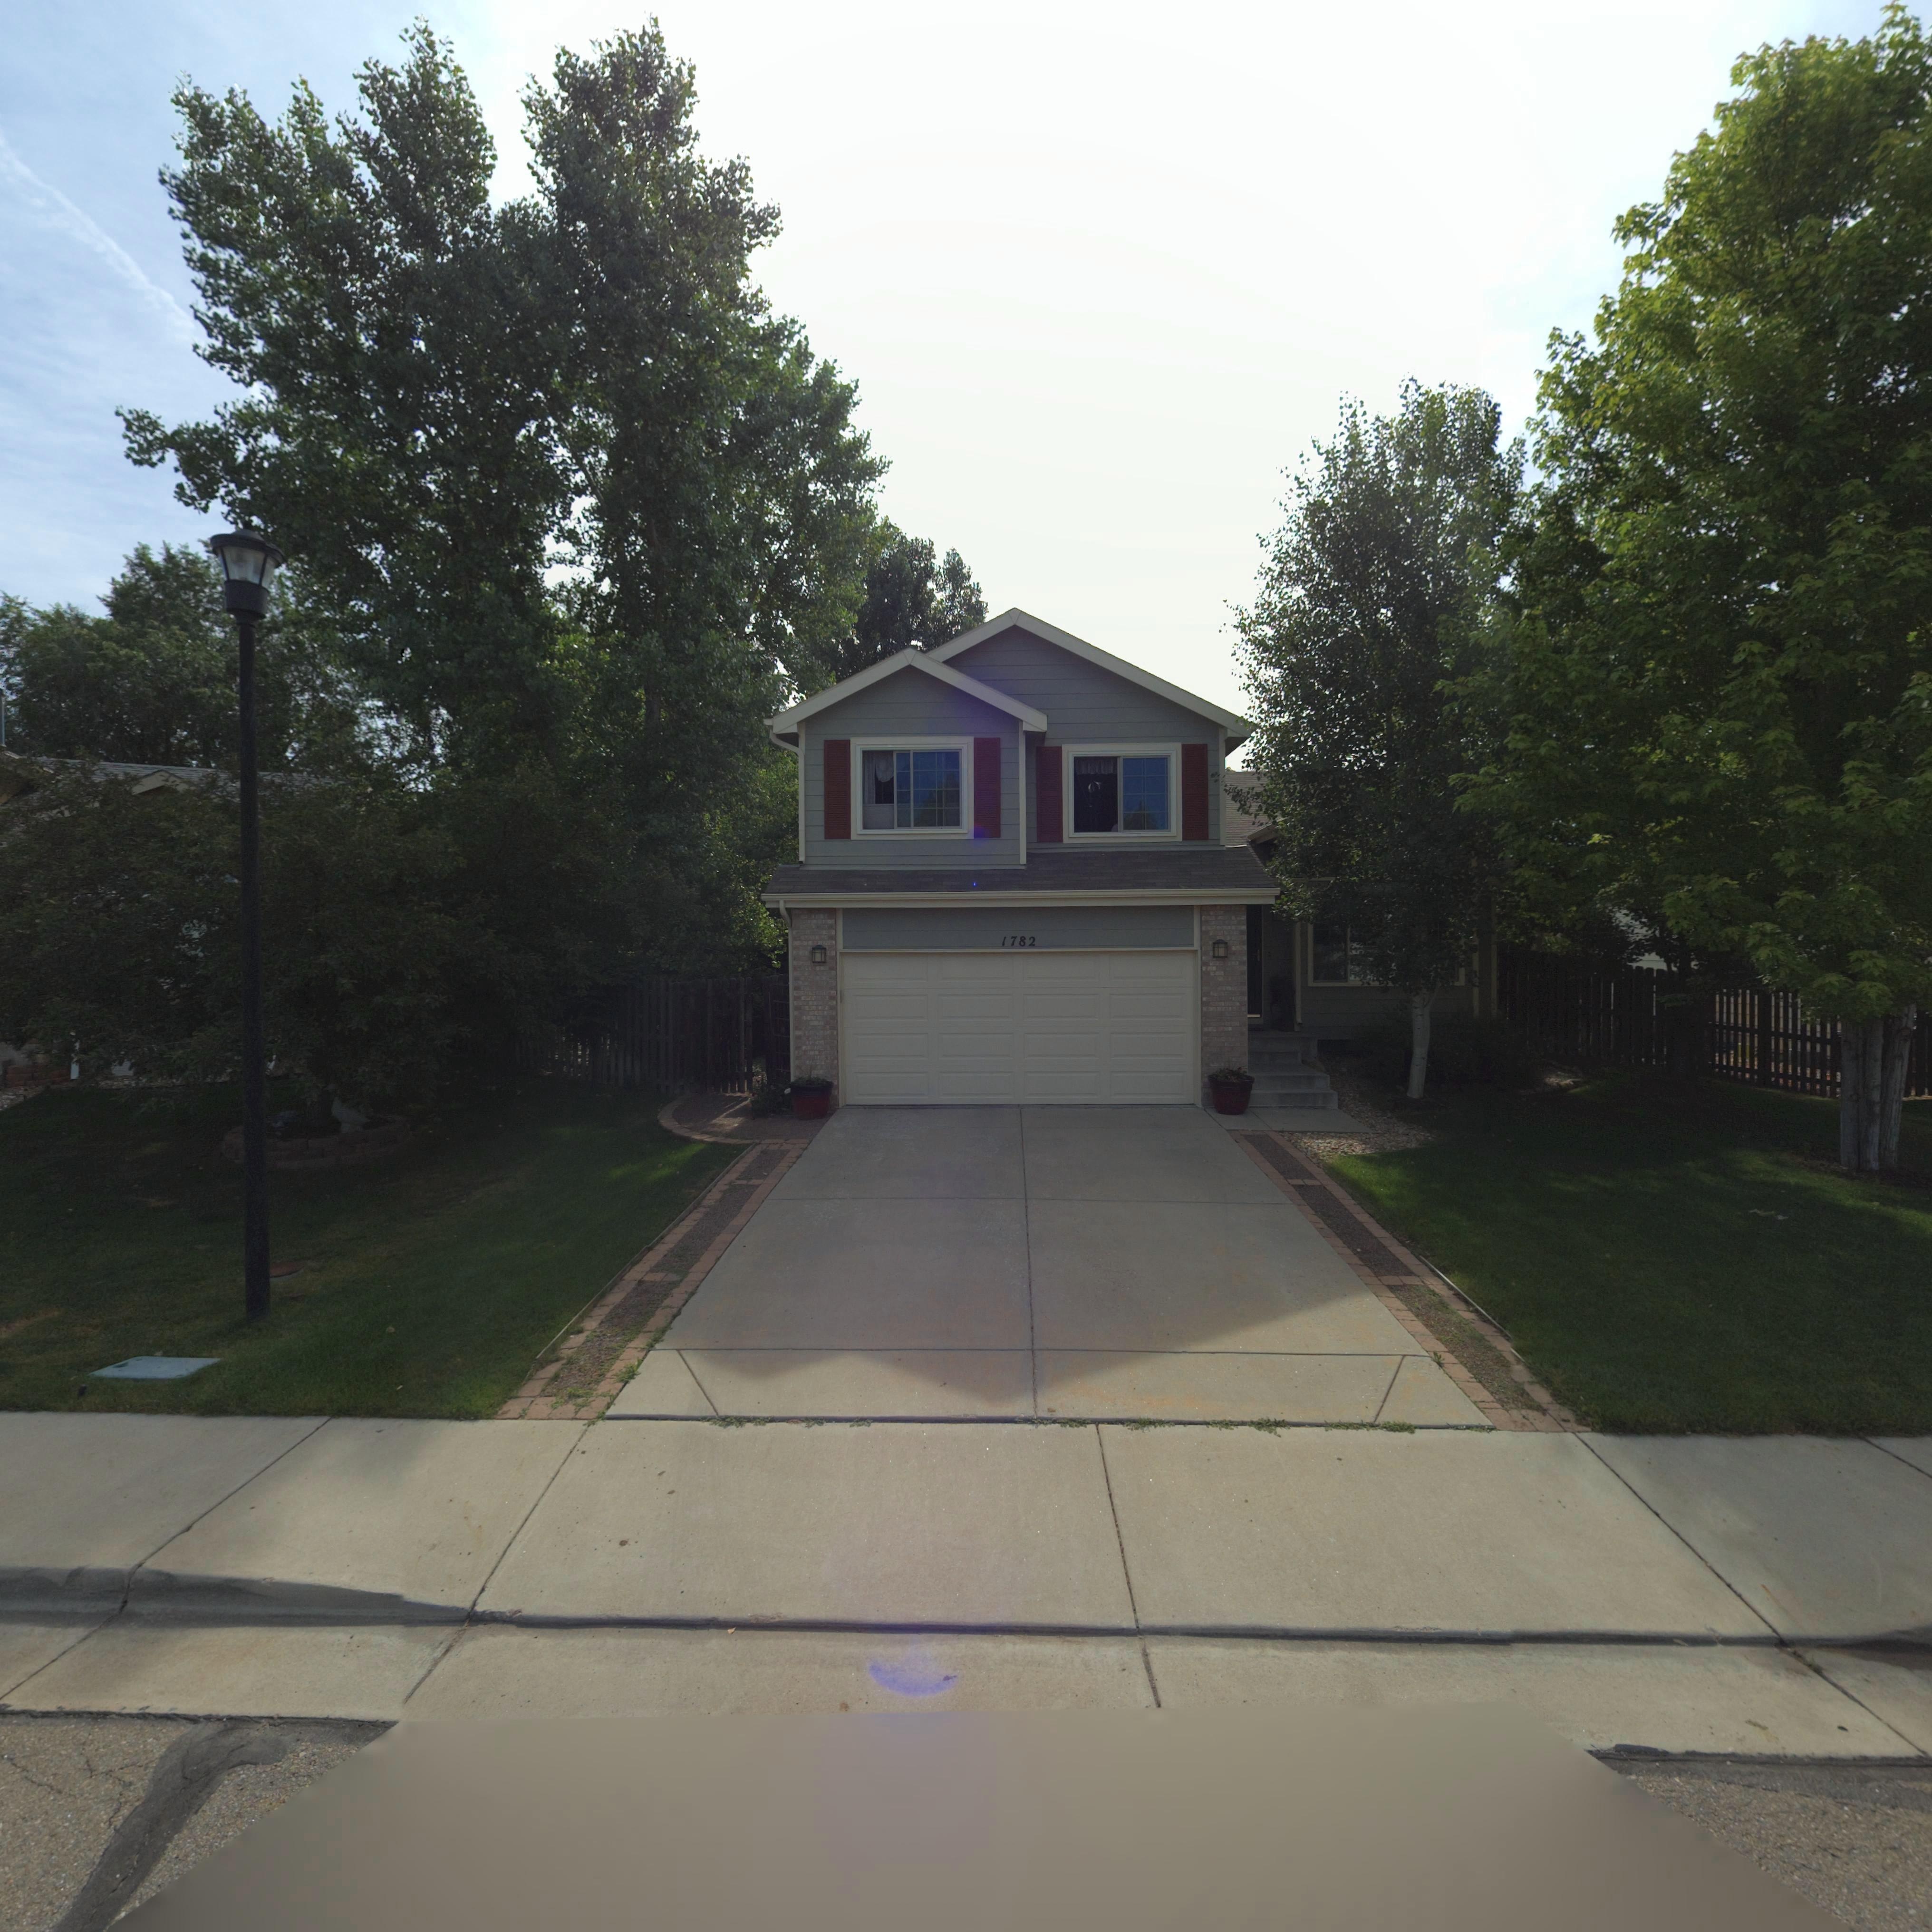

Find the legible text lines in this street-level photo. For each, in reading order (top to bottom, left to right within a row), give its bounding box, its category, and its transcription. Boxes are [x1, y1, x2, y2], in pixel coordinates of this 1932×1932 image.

[1000, 935, 1036, 947] StreetNumber: 1782